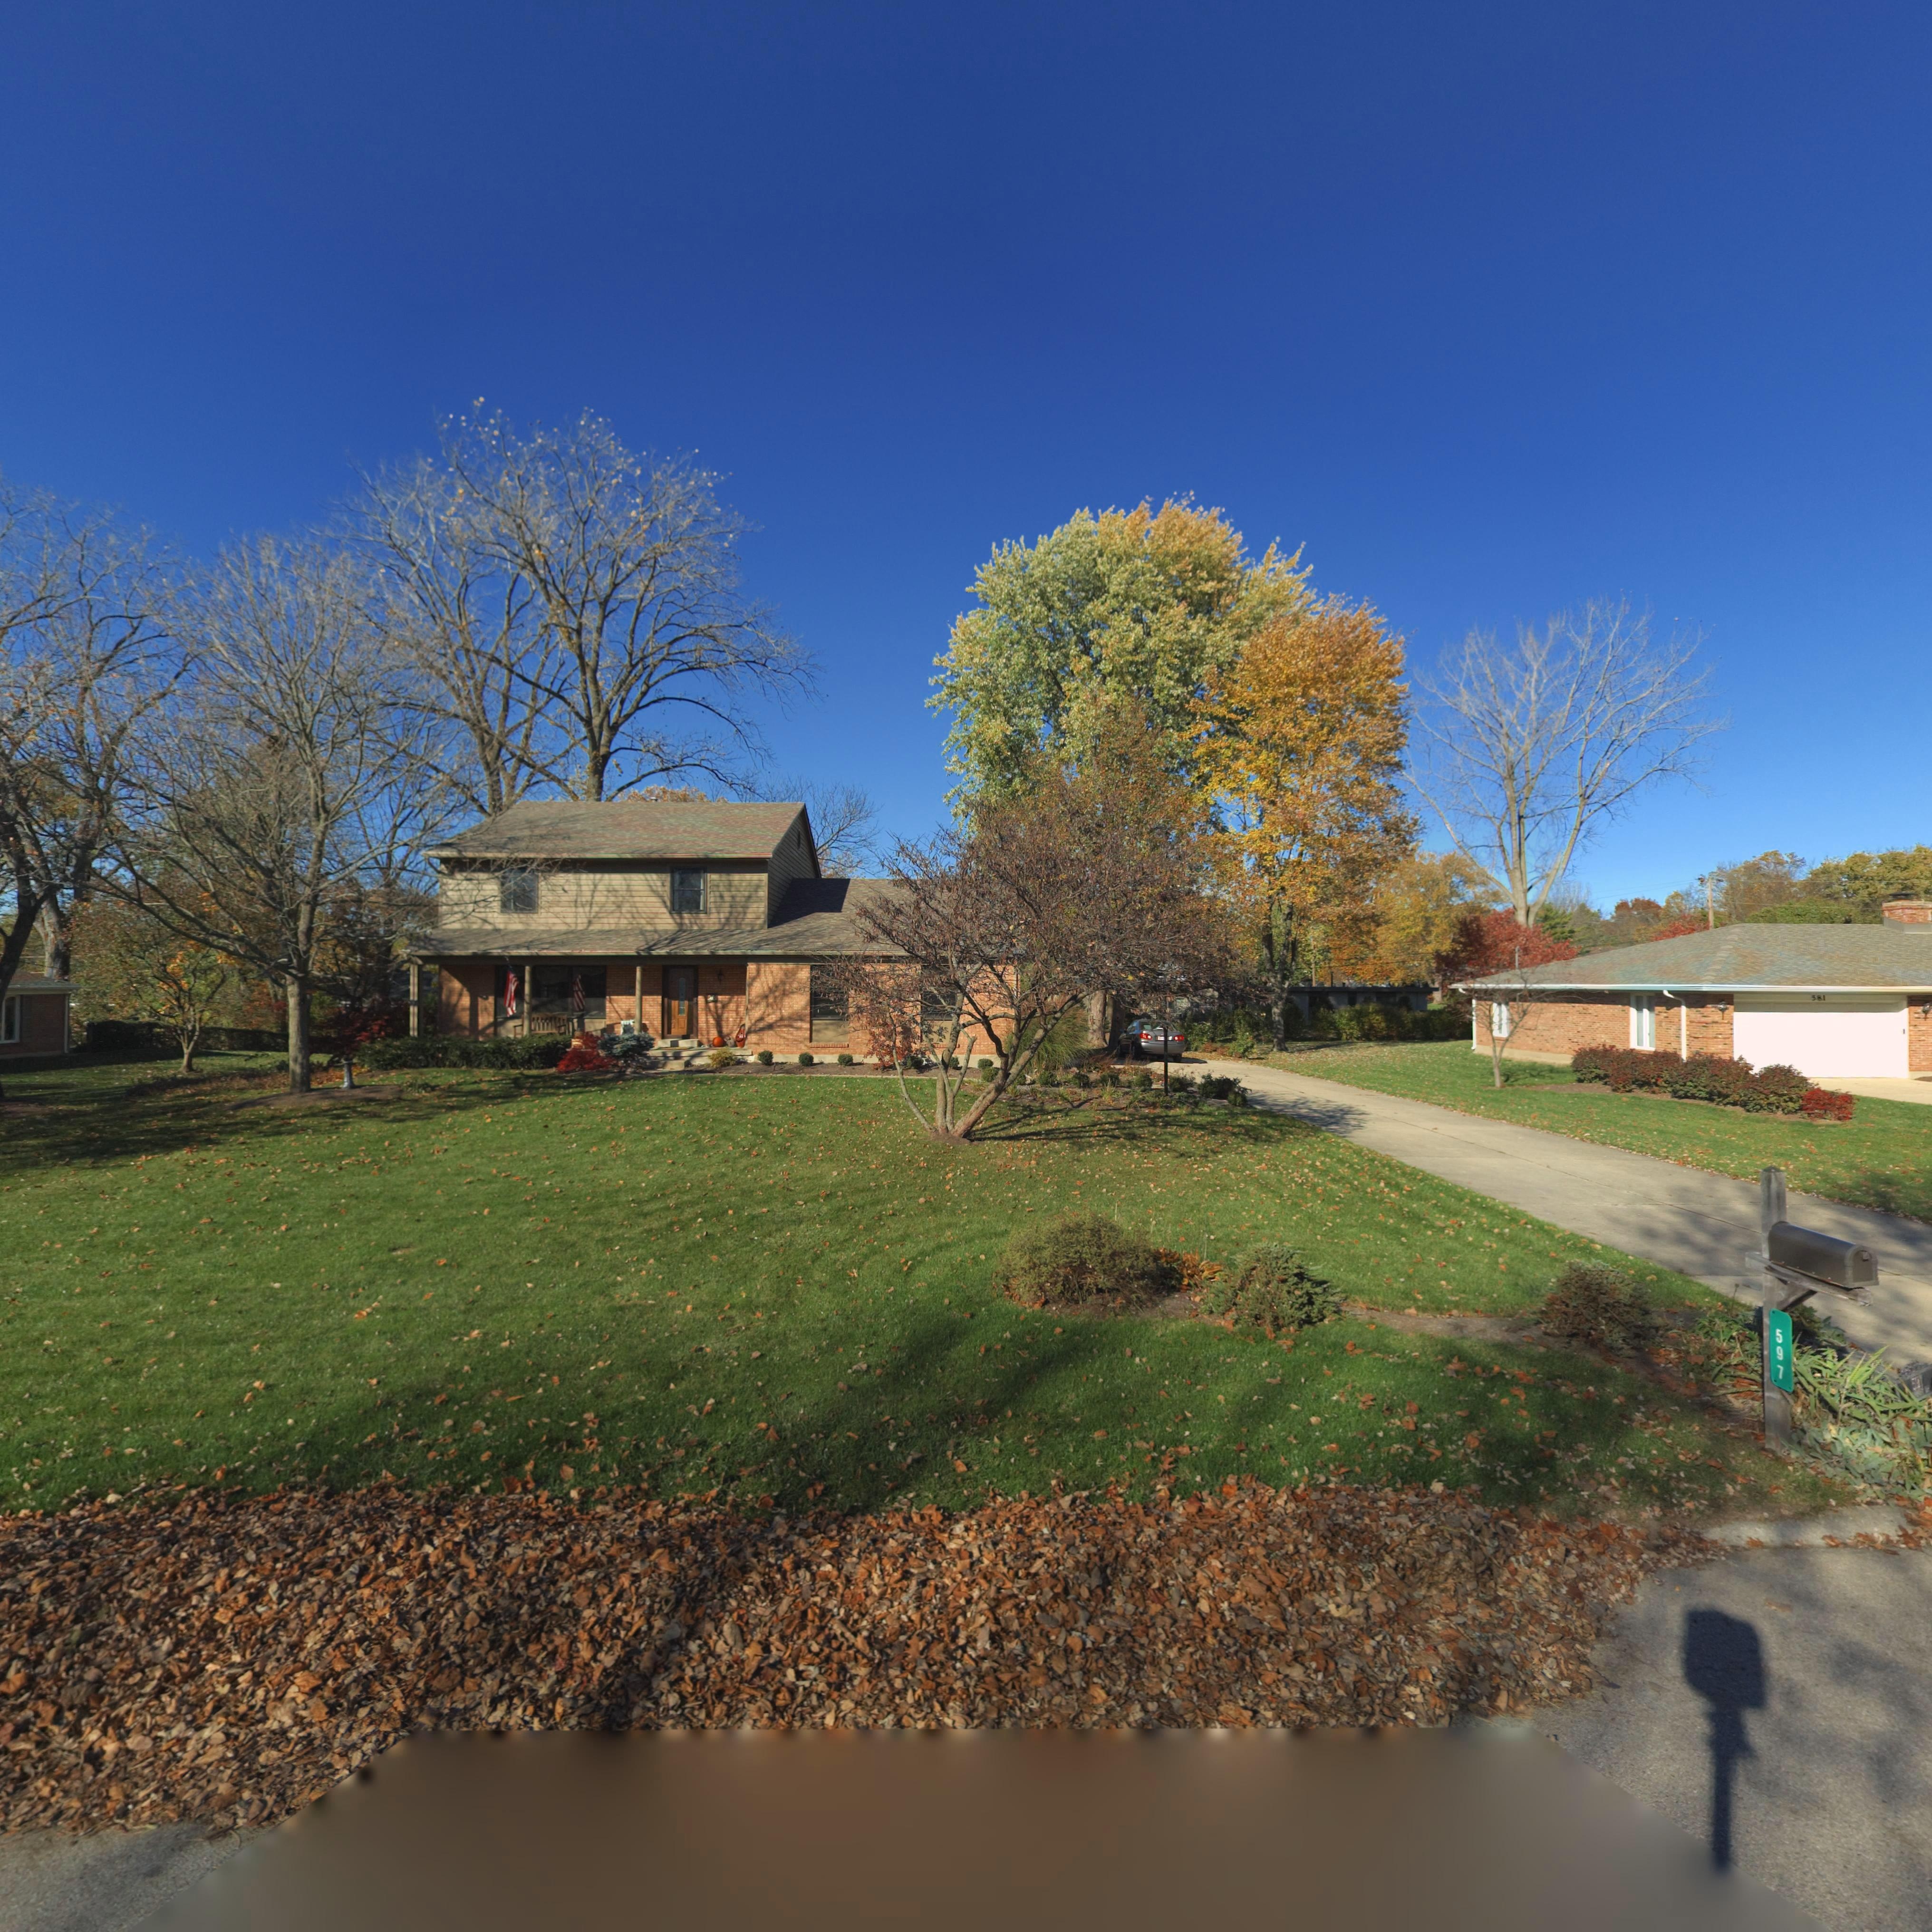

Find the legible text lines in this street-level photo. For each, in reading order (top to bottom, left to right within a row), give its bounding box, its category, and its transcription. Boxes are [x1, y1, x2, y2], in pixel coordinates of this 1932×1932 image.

[1810, 994, 1827, 1002] StreetNumber: 581
[1775, 1327, 1784, 1381] StreetNumber: 597